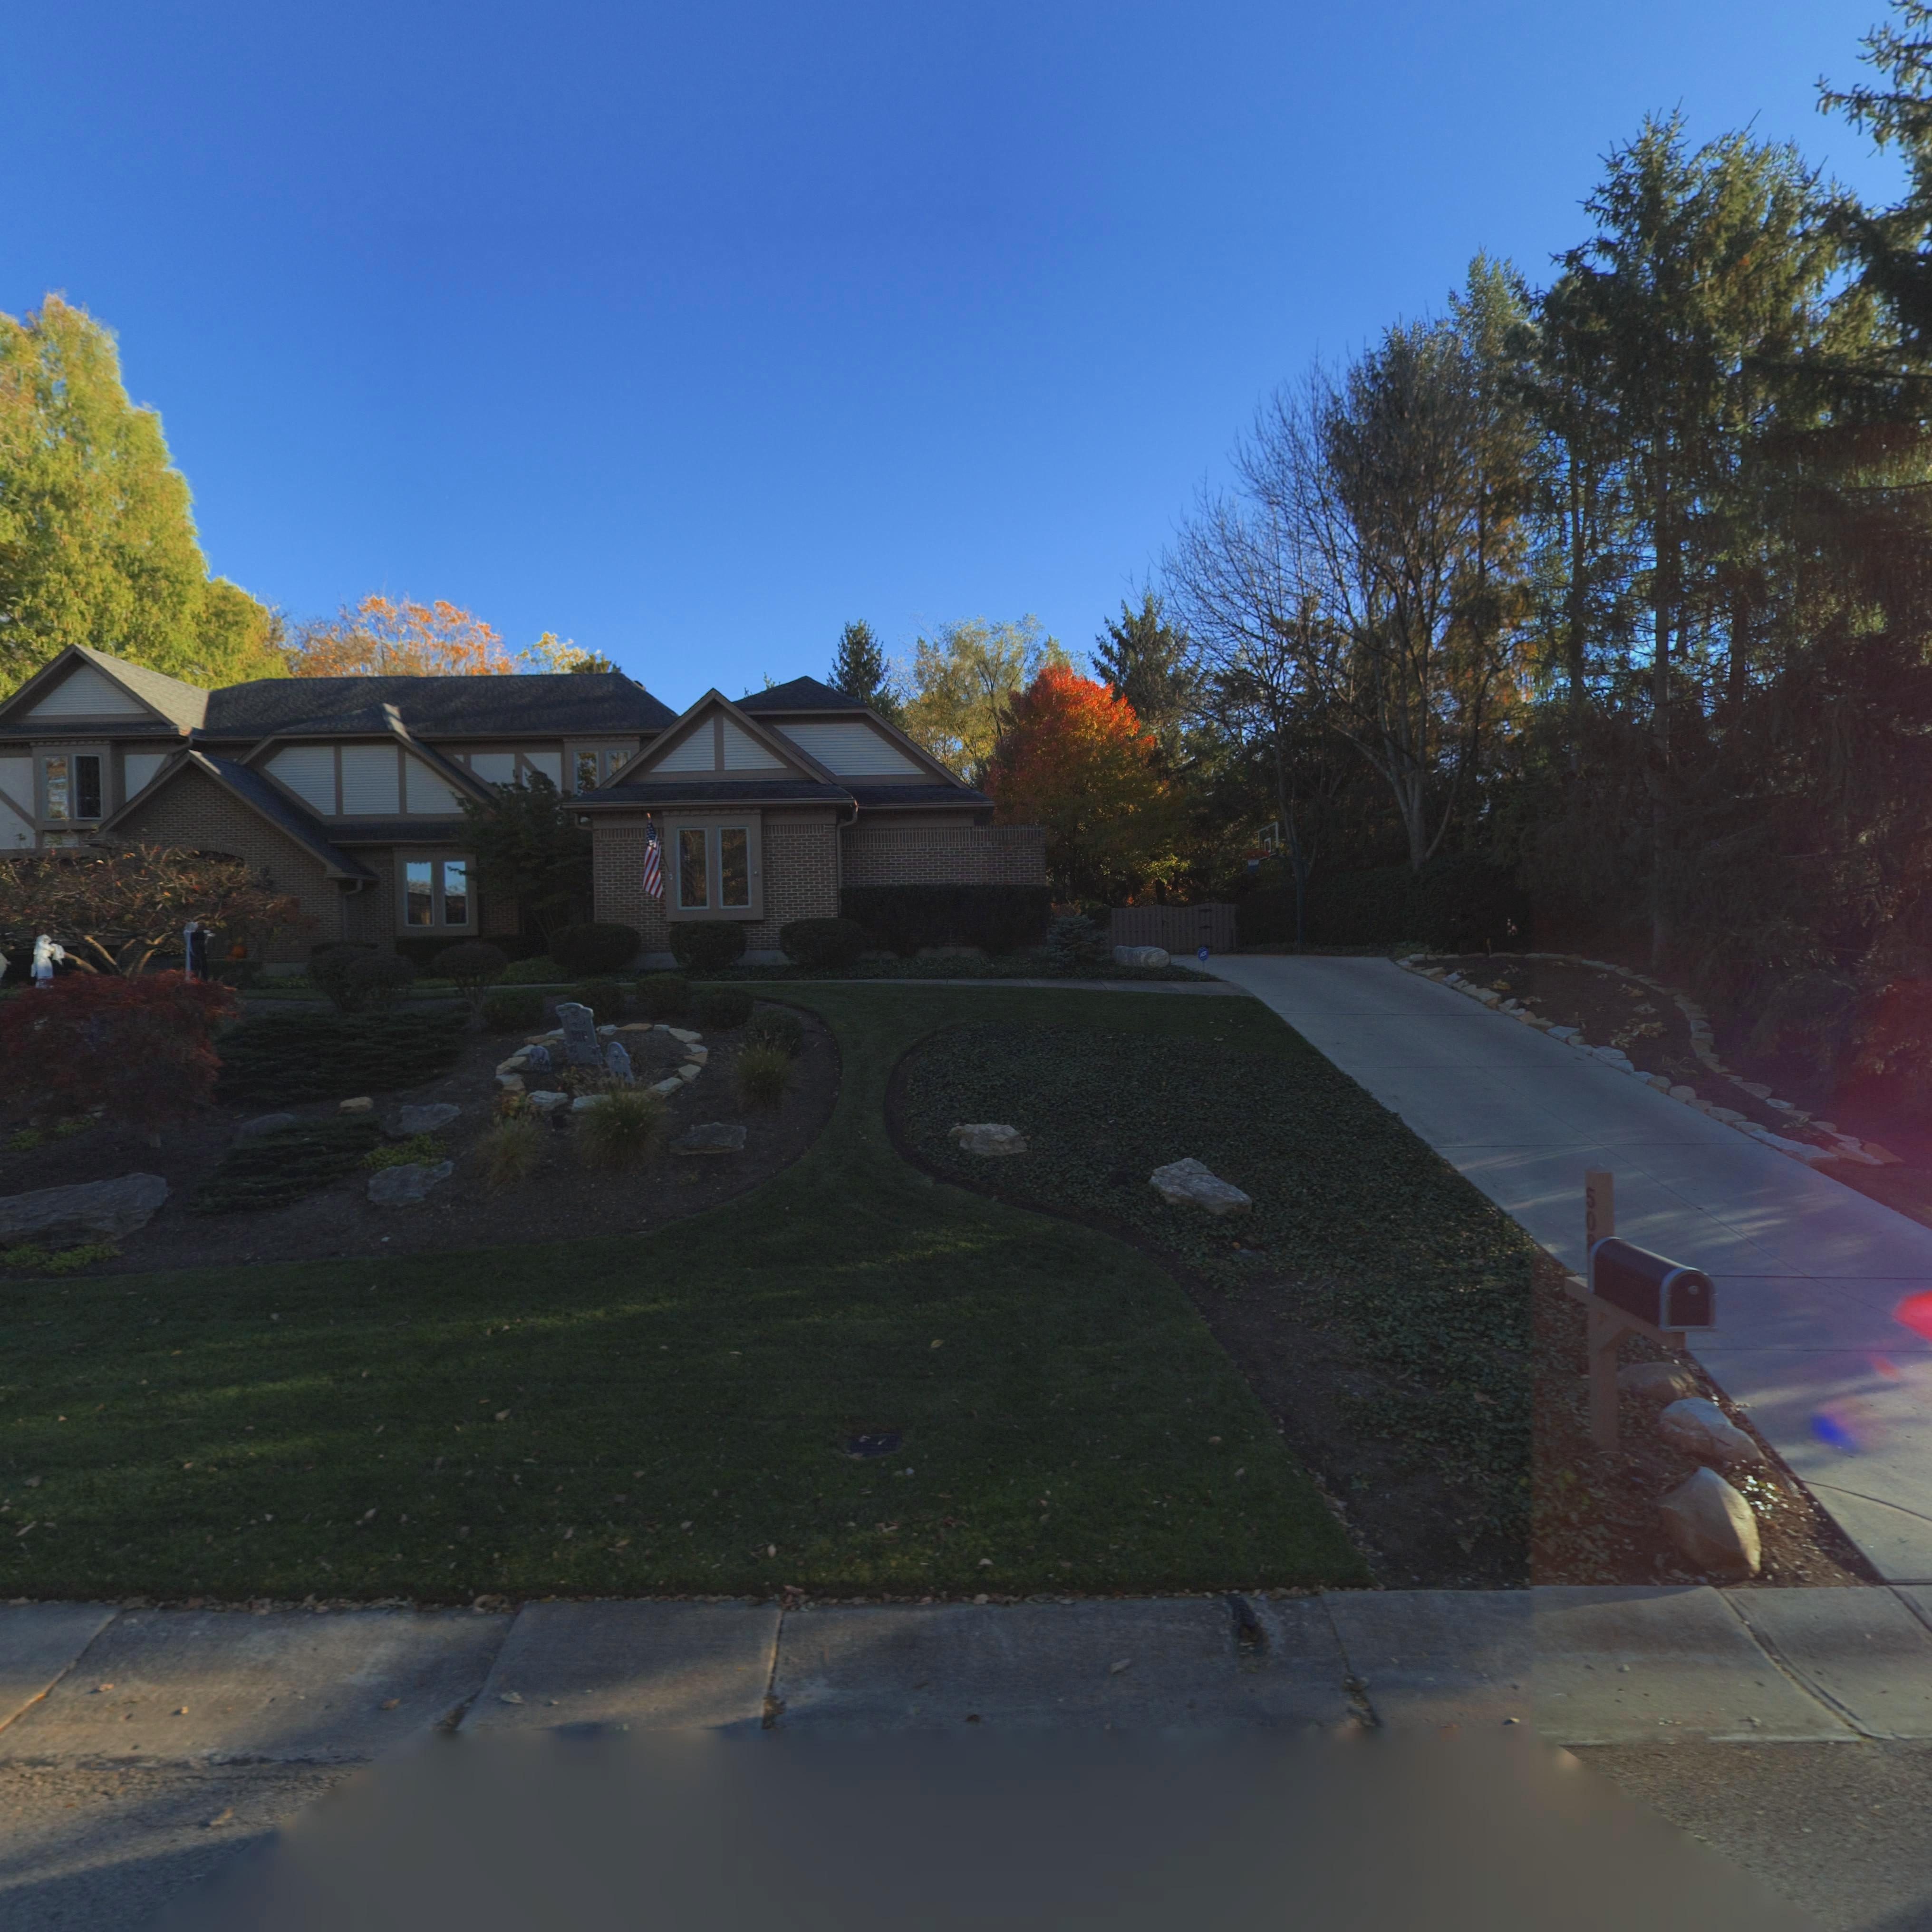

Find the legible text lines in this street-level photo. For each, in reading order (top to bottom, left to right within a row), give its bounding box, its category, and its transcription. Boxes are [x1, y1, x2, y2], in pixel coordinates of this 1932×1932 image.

[1584, 1185, 1597, 1255] StreetNumber: 50*